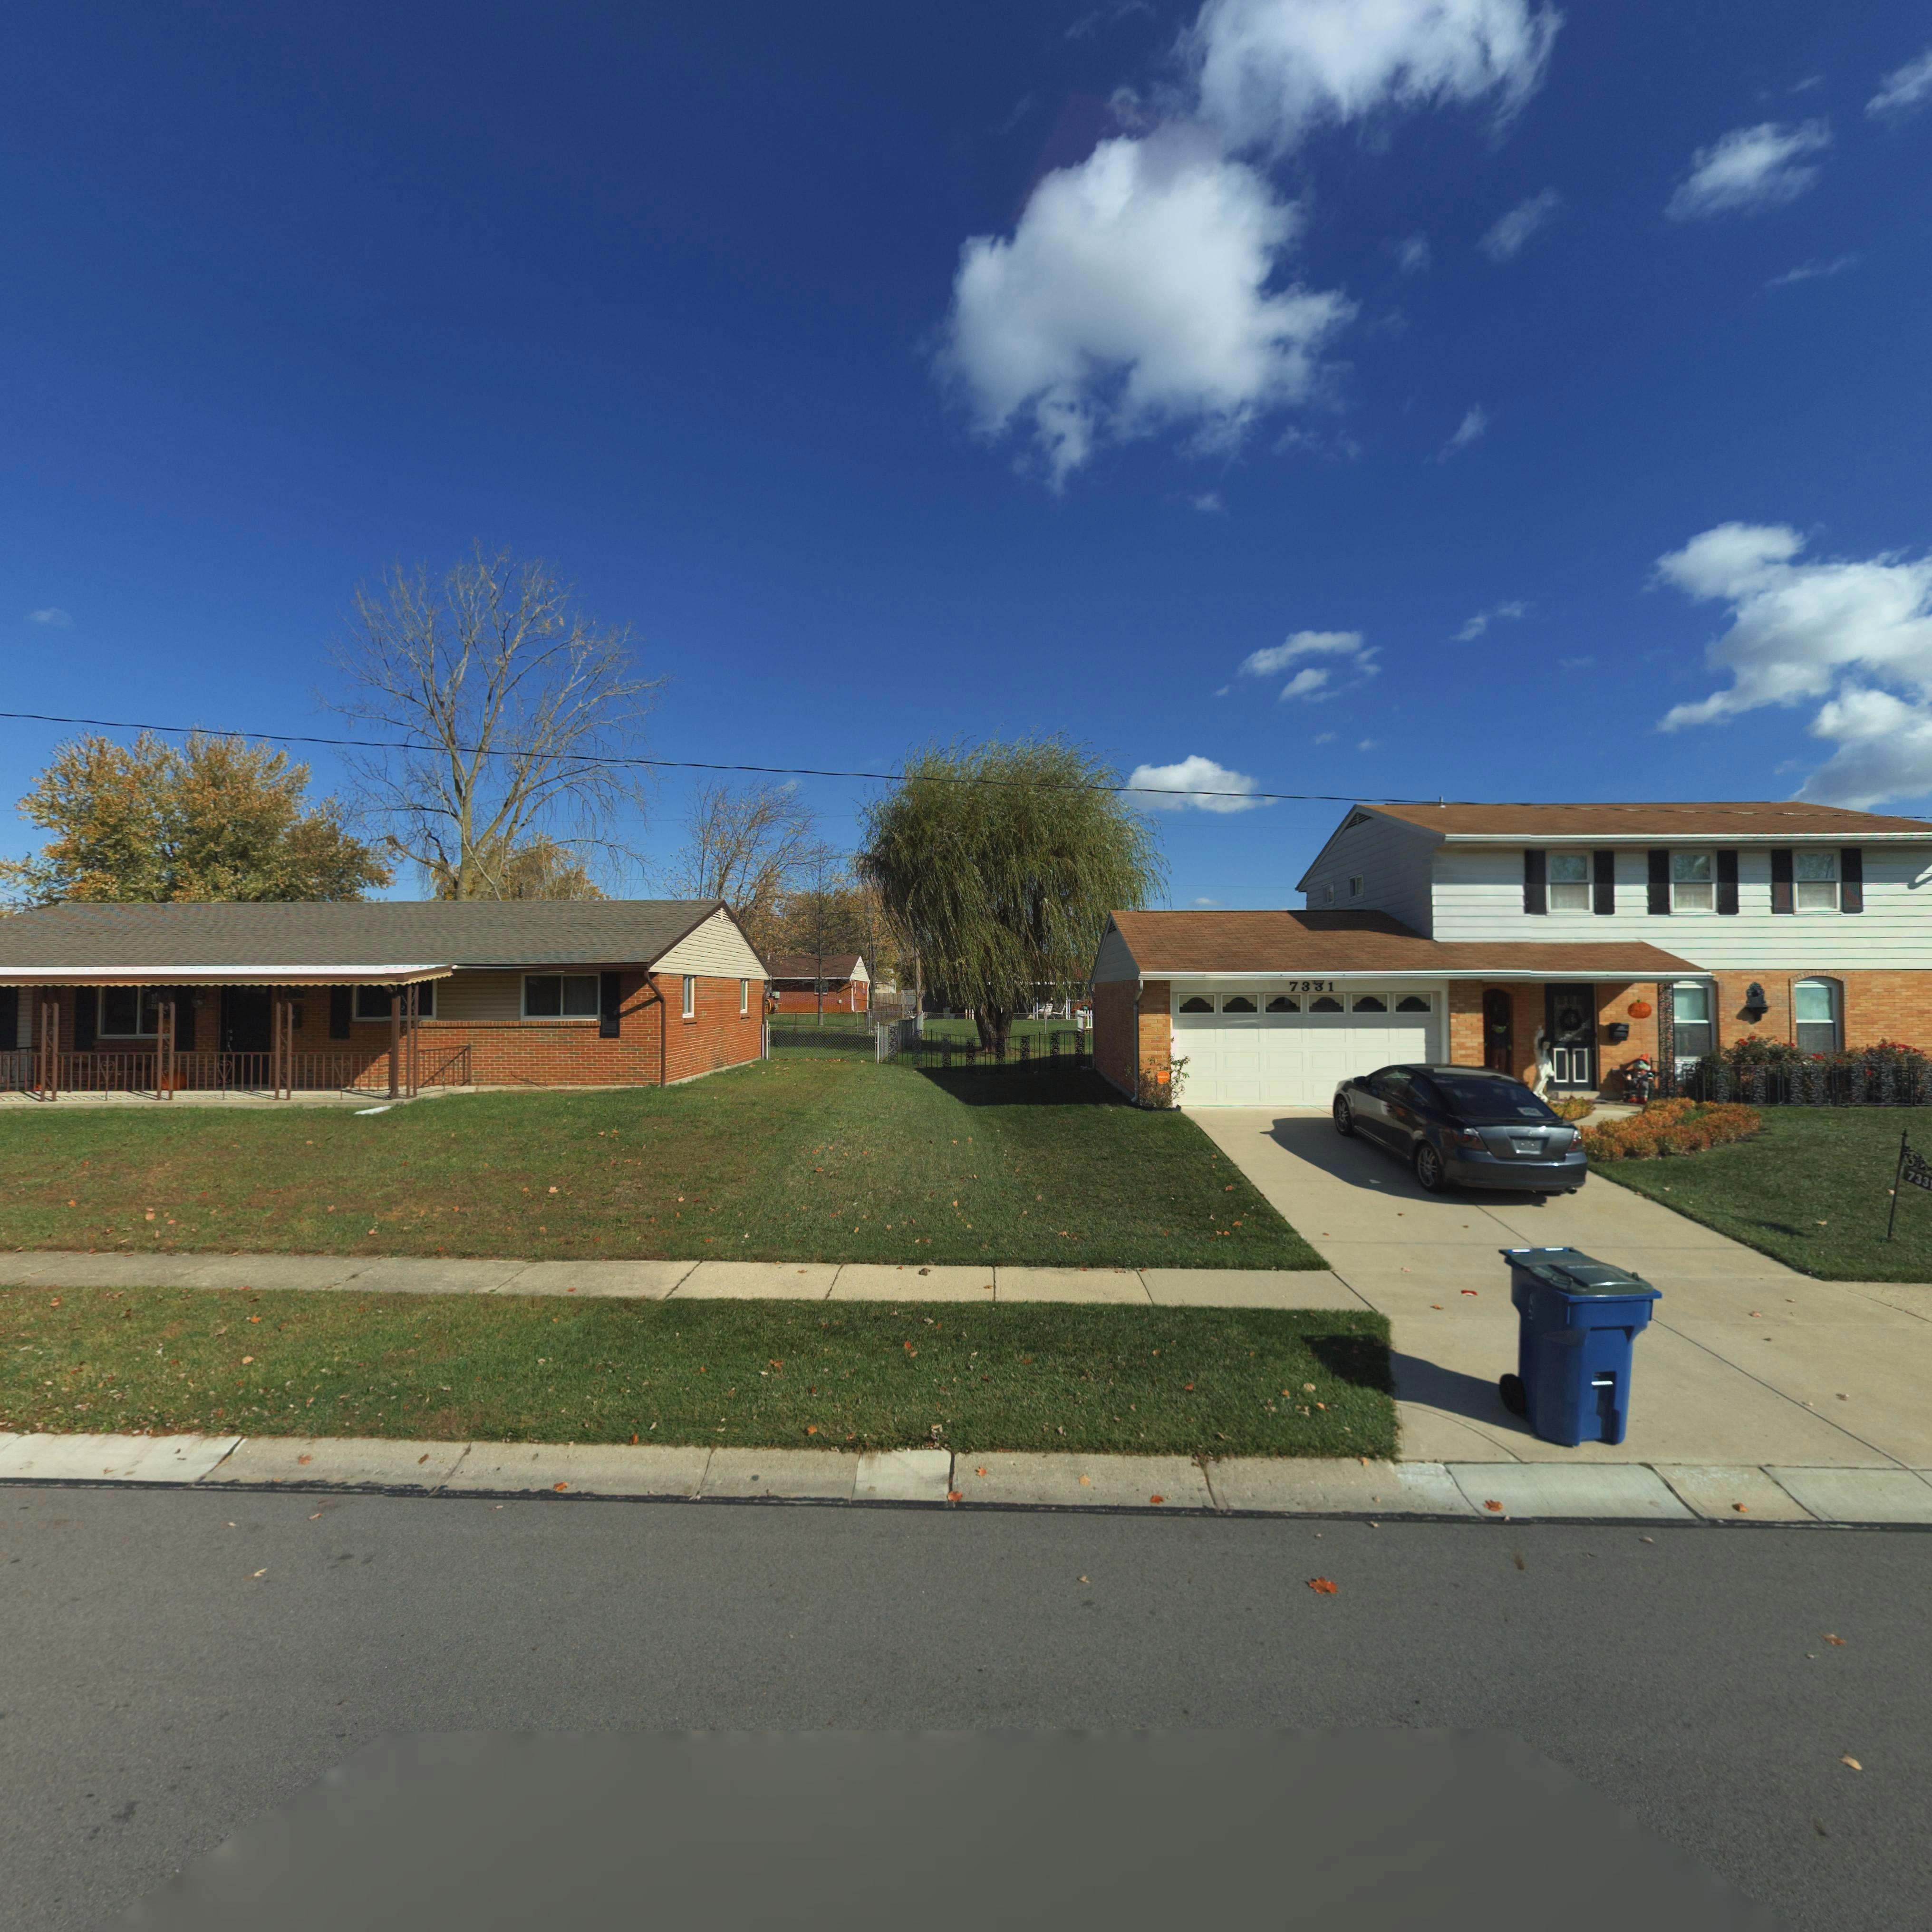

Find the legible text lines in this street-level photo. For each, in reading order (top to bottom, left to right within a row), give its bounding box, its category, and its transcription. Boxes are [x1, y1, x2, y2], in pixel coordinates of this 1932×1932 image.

[1288, 980, 1335, 993] StreetNumber: 73*1
[1906, 1169, 1930, 1188] StreetNumber: 733